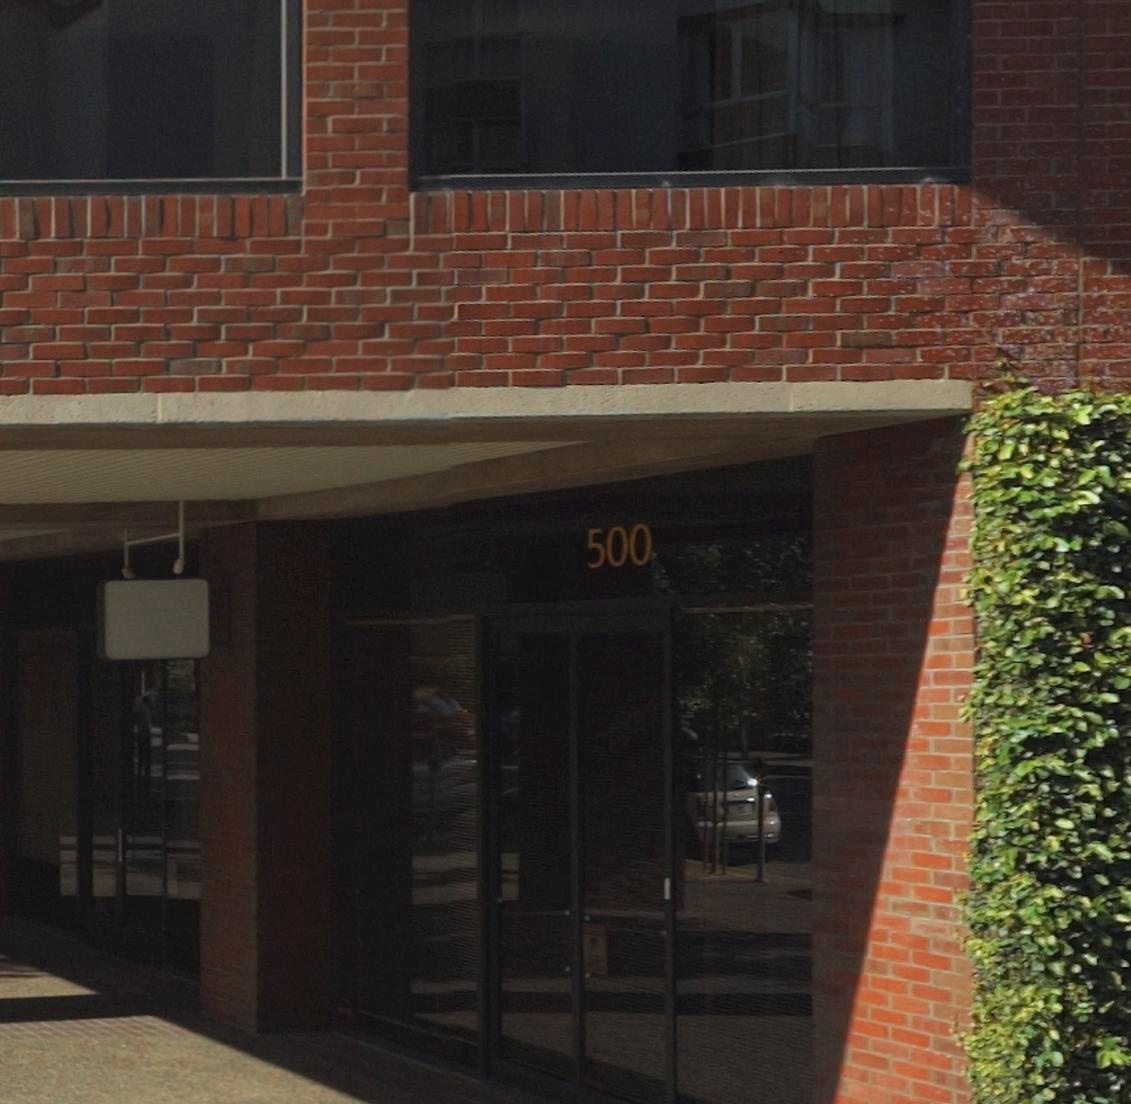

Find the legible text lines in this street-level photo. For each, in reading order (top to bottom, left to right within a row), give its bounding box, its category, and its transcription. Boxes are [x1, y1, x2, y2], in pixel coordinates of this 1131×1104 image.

[584, 523, 653, 570] StreetNumber: 500